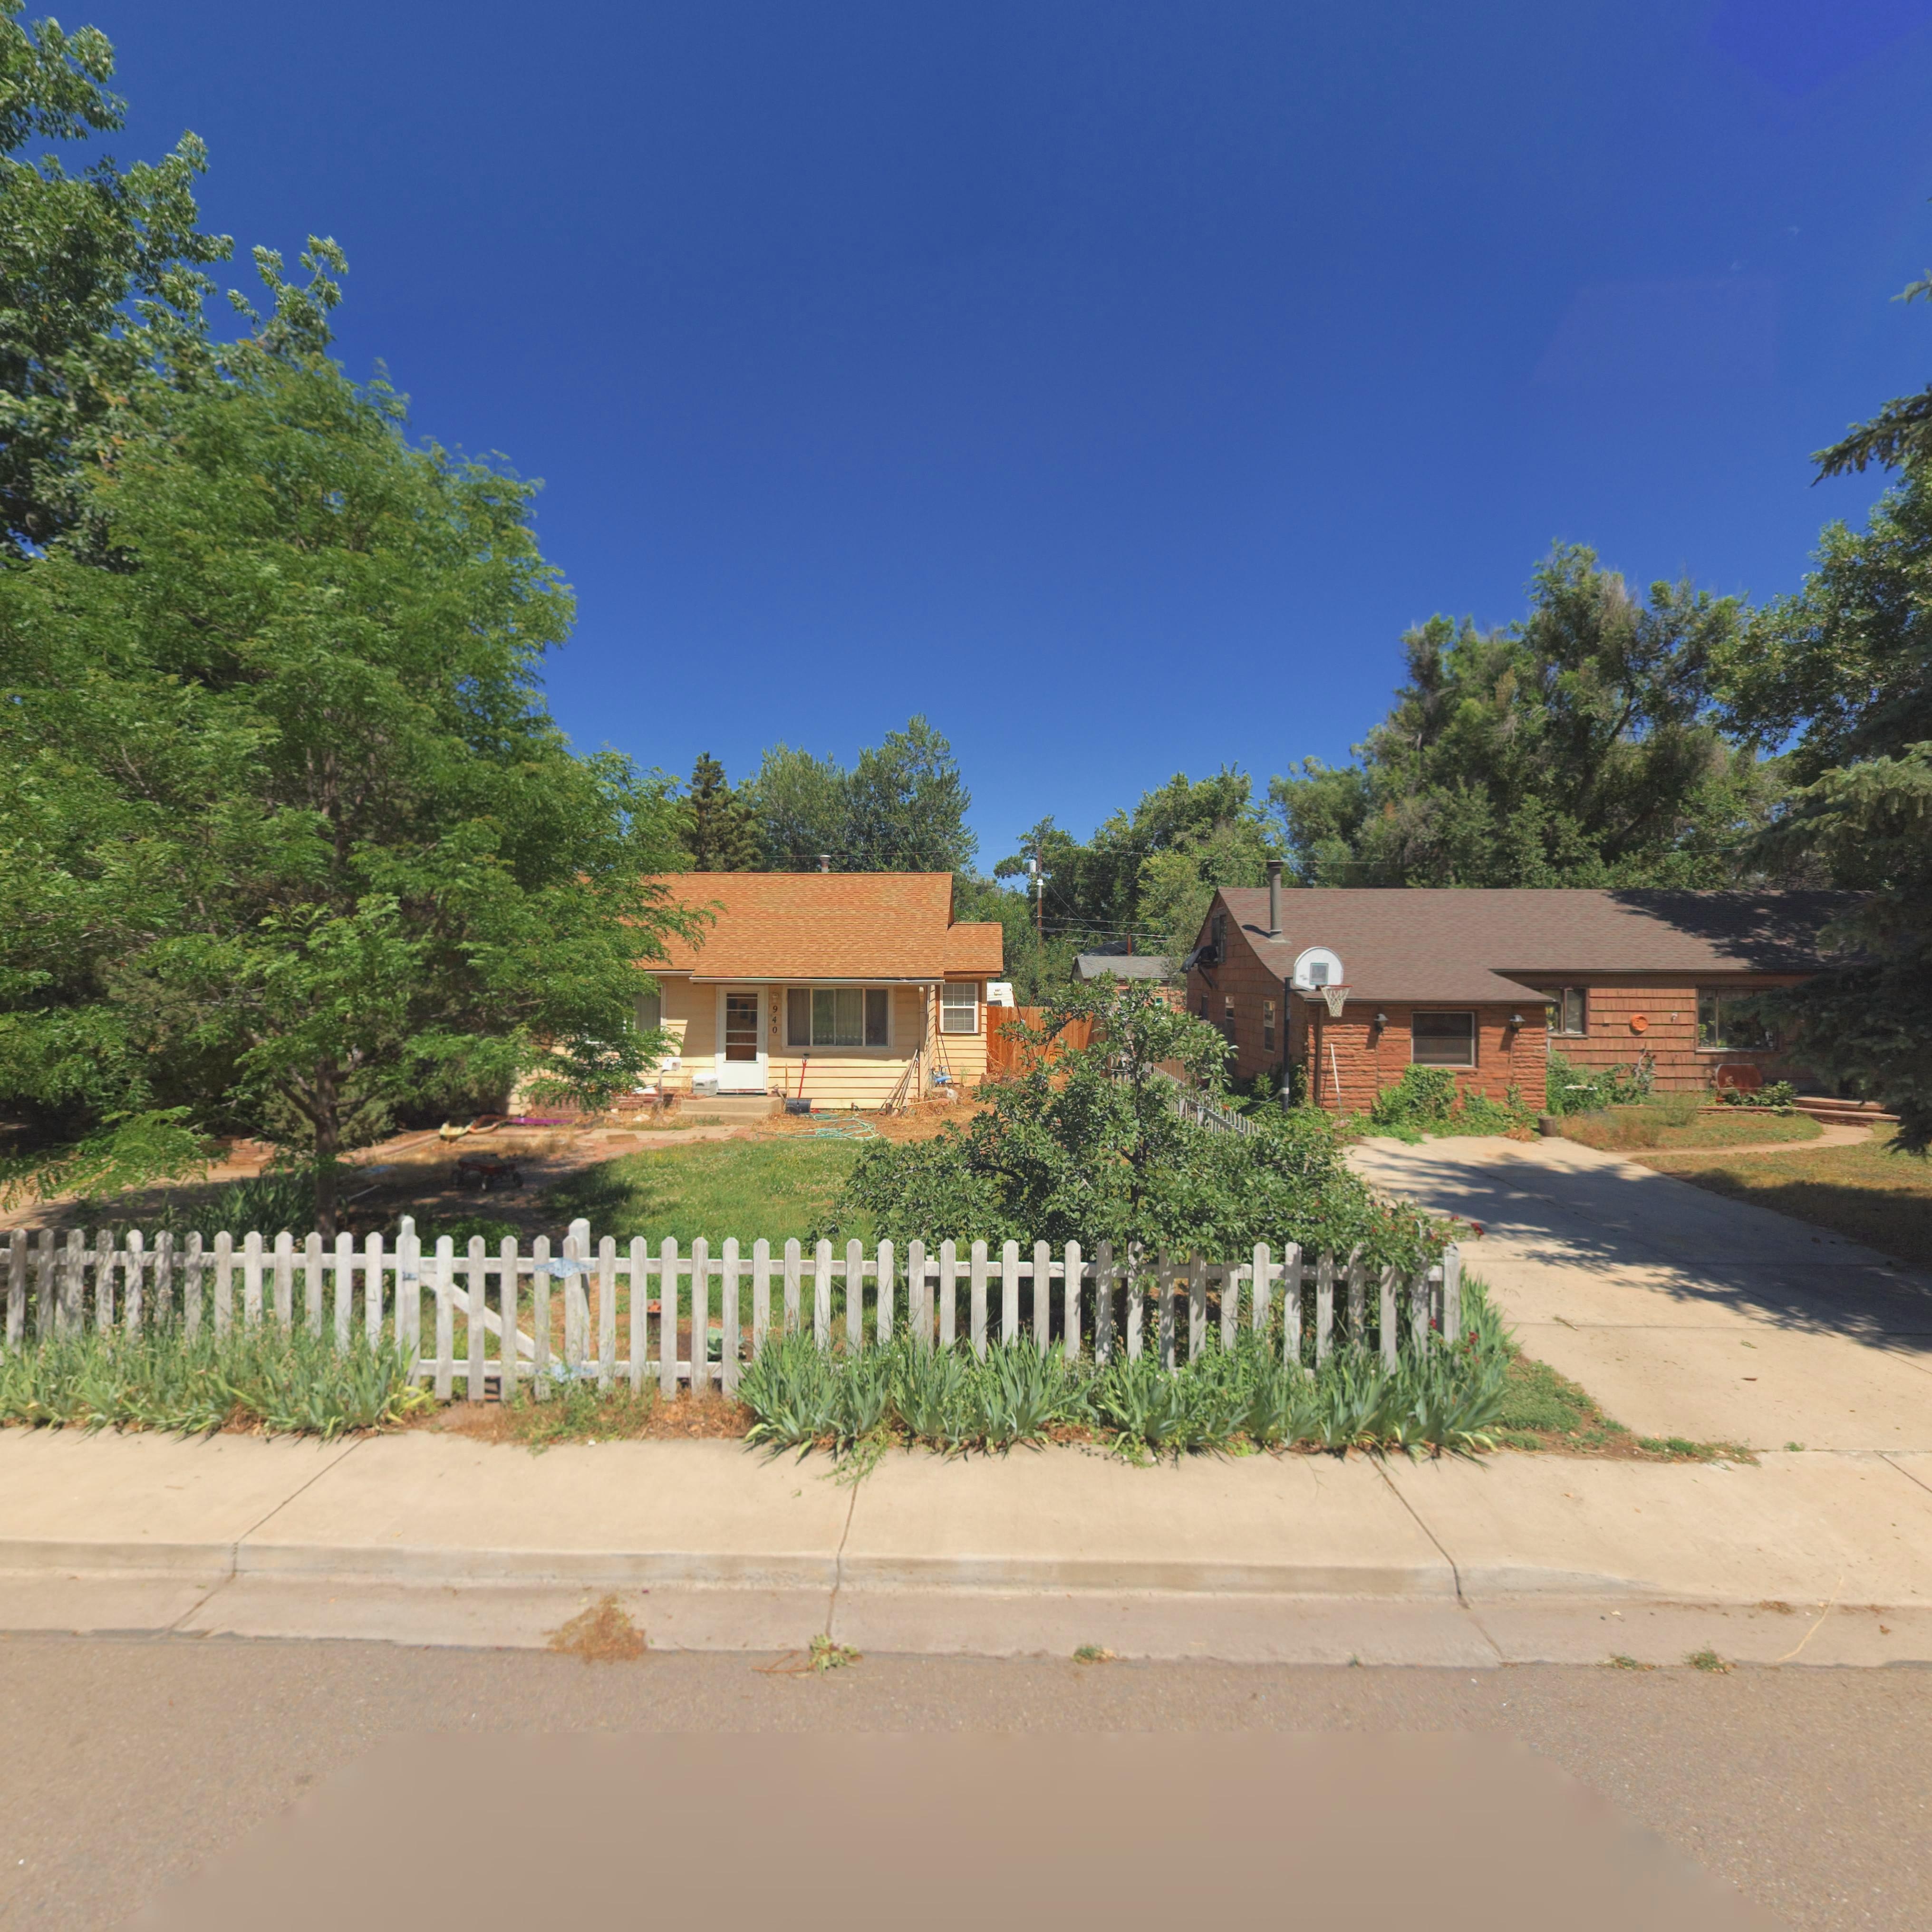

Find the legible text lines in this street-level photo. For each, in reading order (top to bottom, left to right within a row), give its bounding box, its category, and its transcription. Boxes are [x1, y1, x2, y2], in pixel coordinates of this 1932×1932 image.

[772, 1005, 777, 1034] StreetNumber: 940